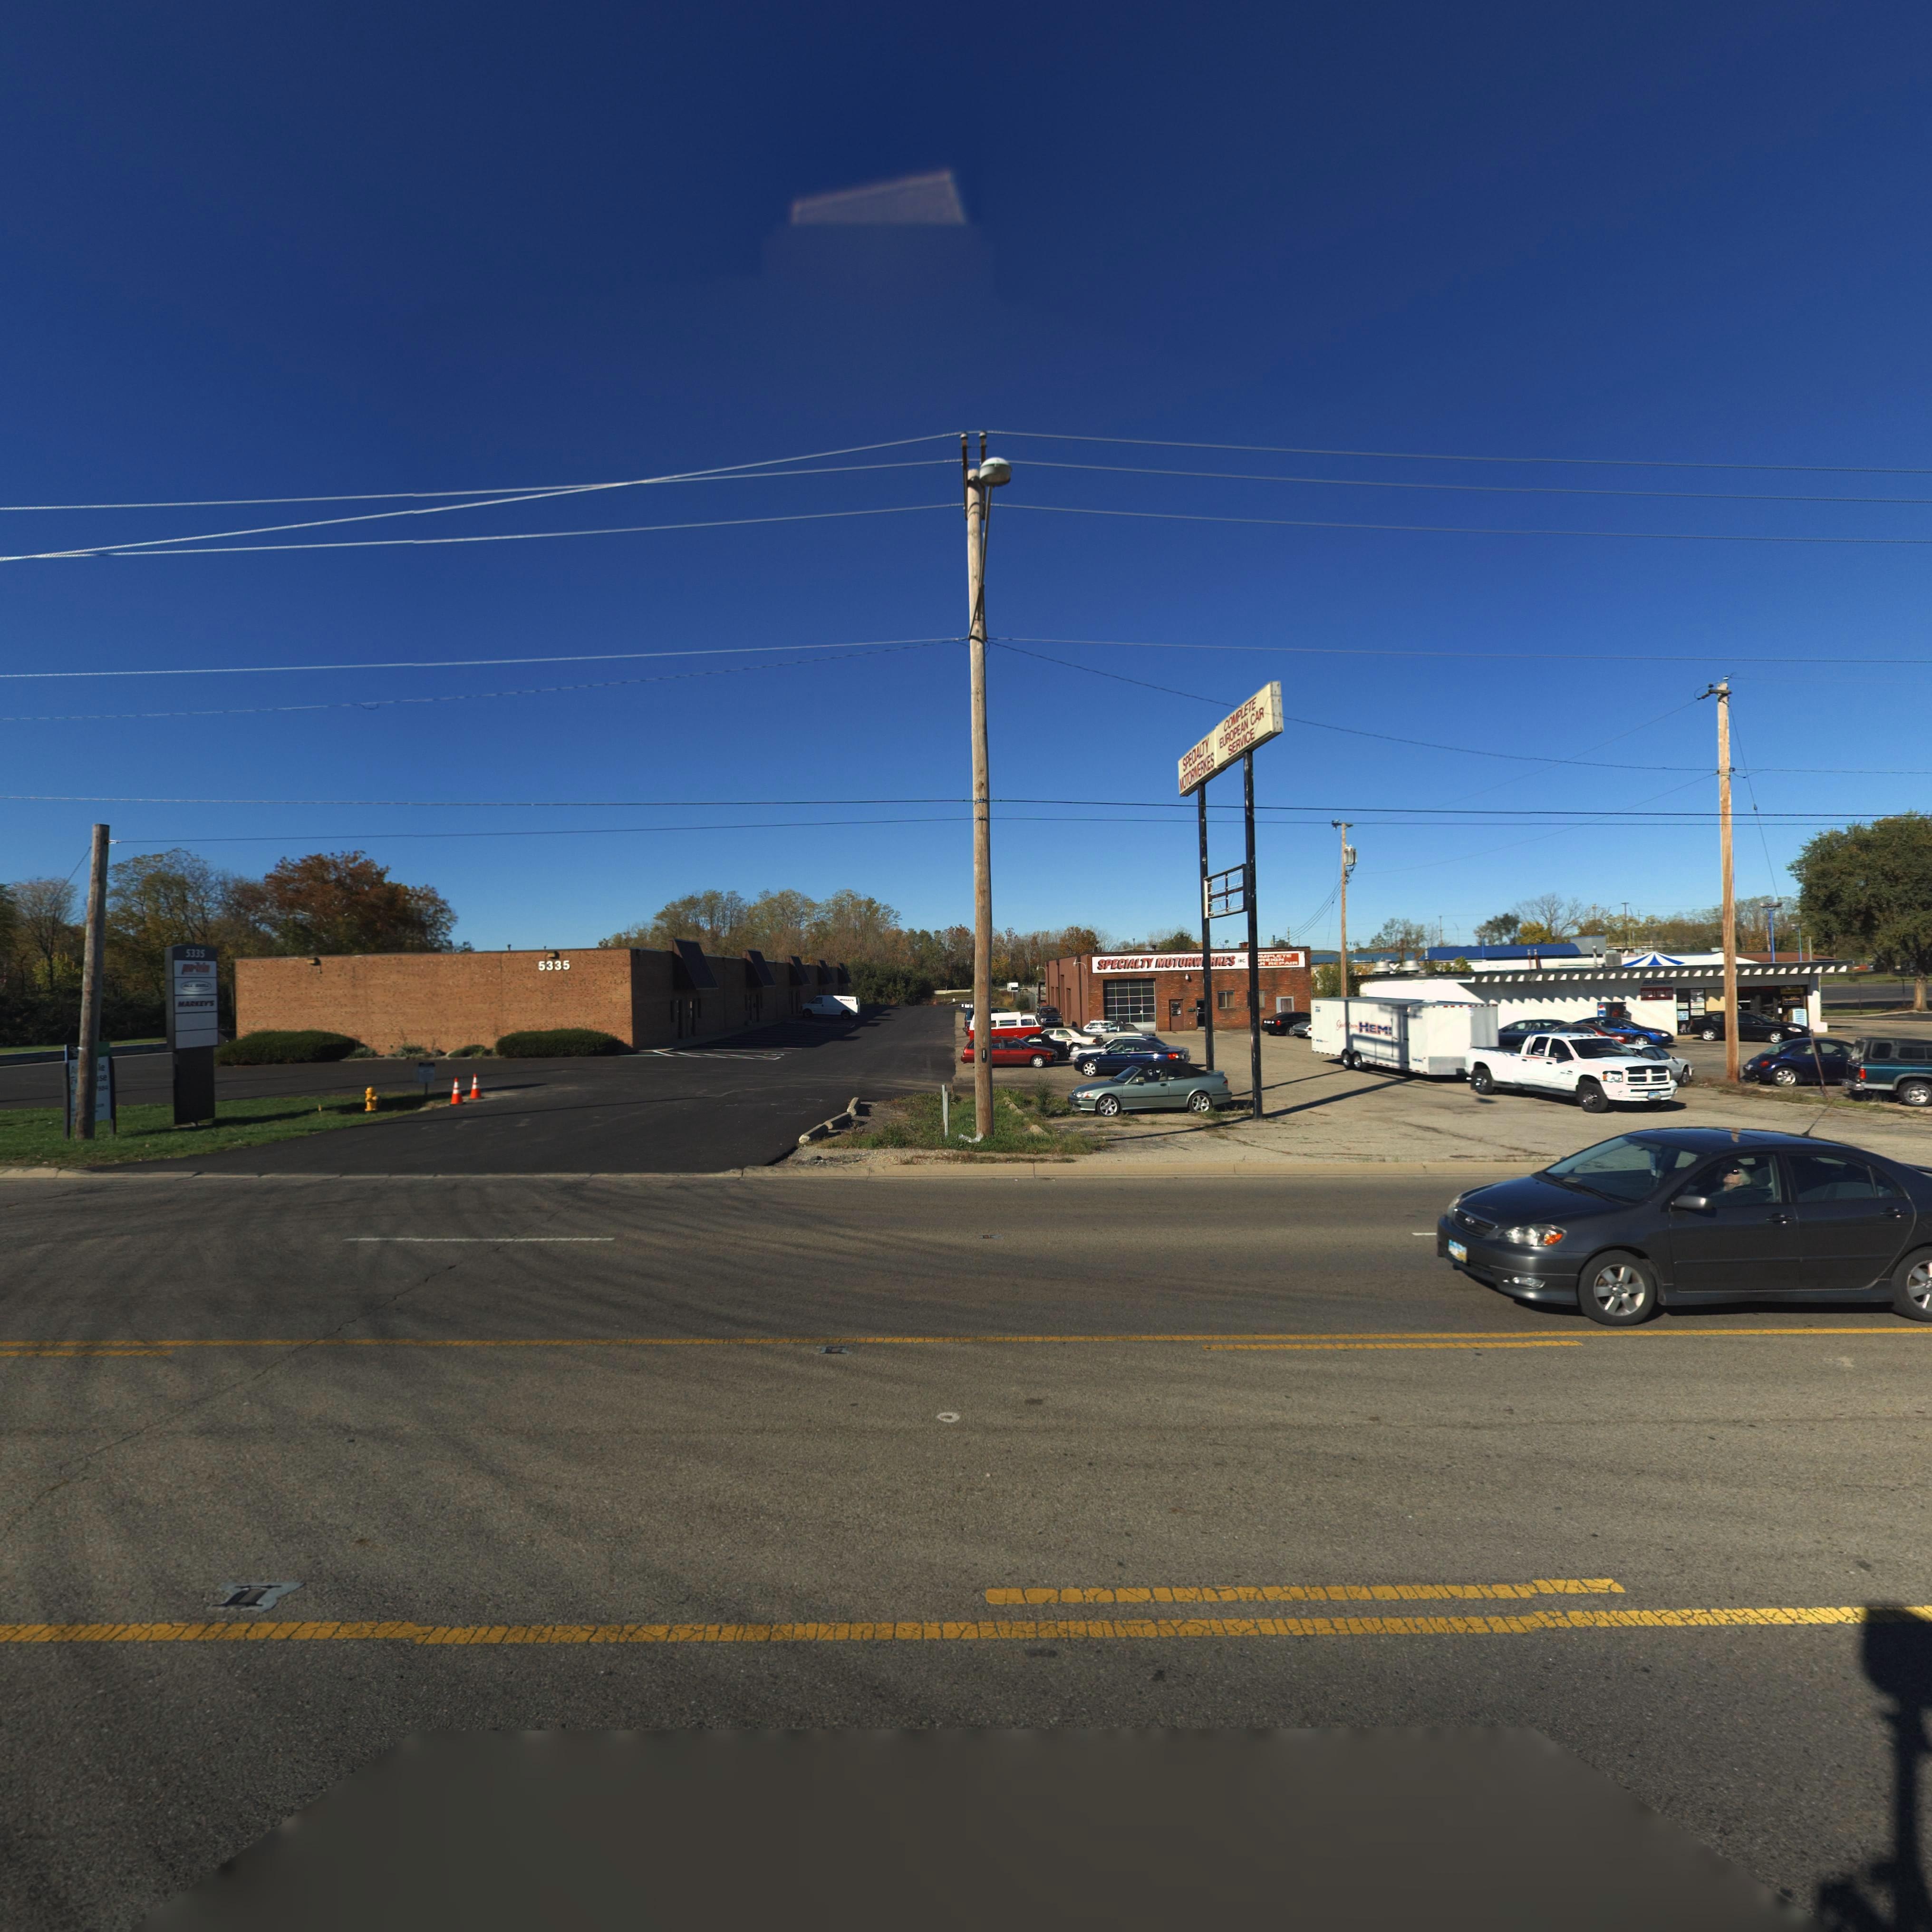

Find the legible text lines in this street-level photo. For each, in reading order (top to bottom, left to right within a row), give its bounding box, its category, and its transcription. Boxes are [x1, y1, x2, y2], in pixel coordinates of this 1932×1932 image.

[184, 948, 207, 958] StreetNumber: 5335
[537, 959, 571, 971] StreetNumber: 5335